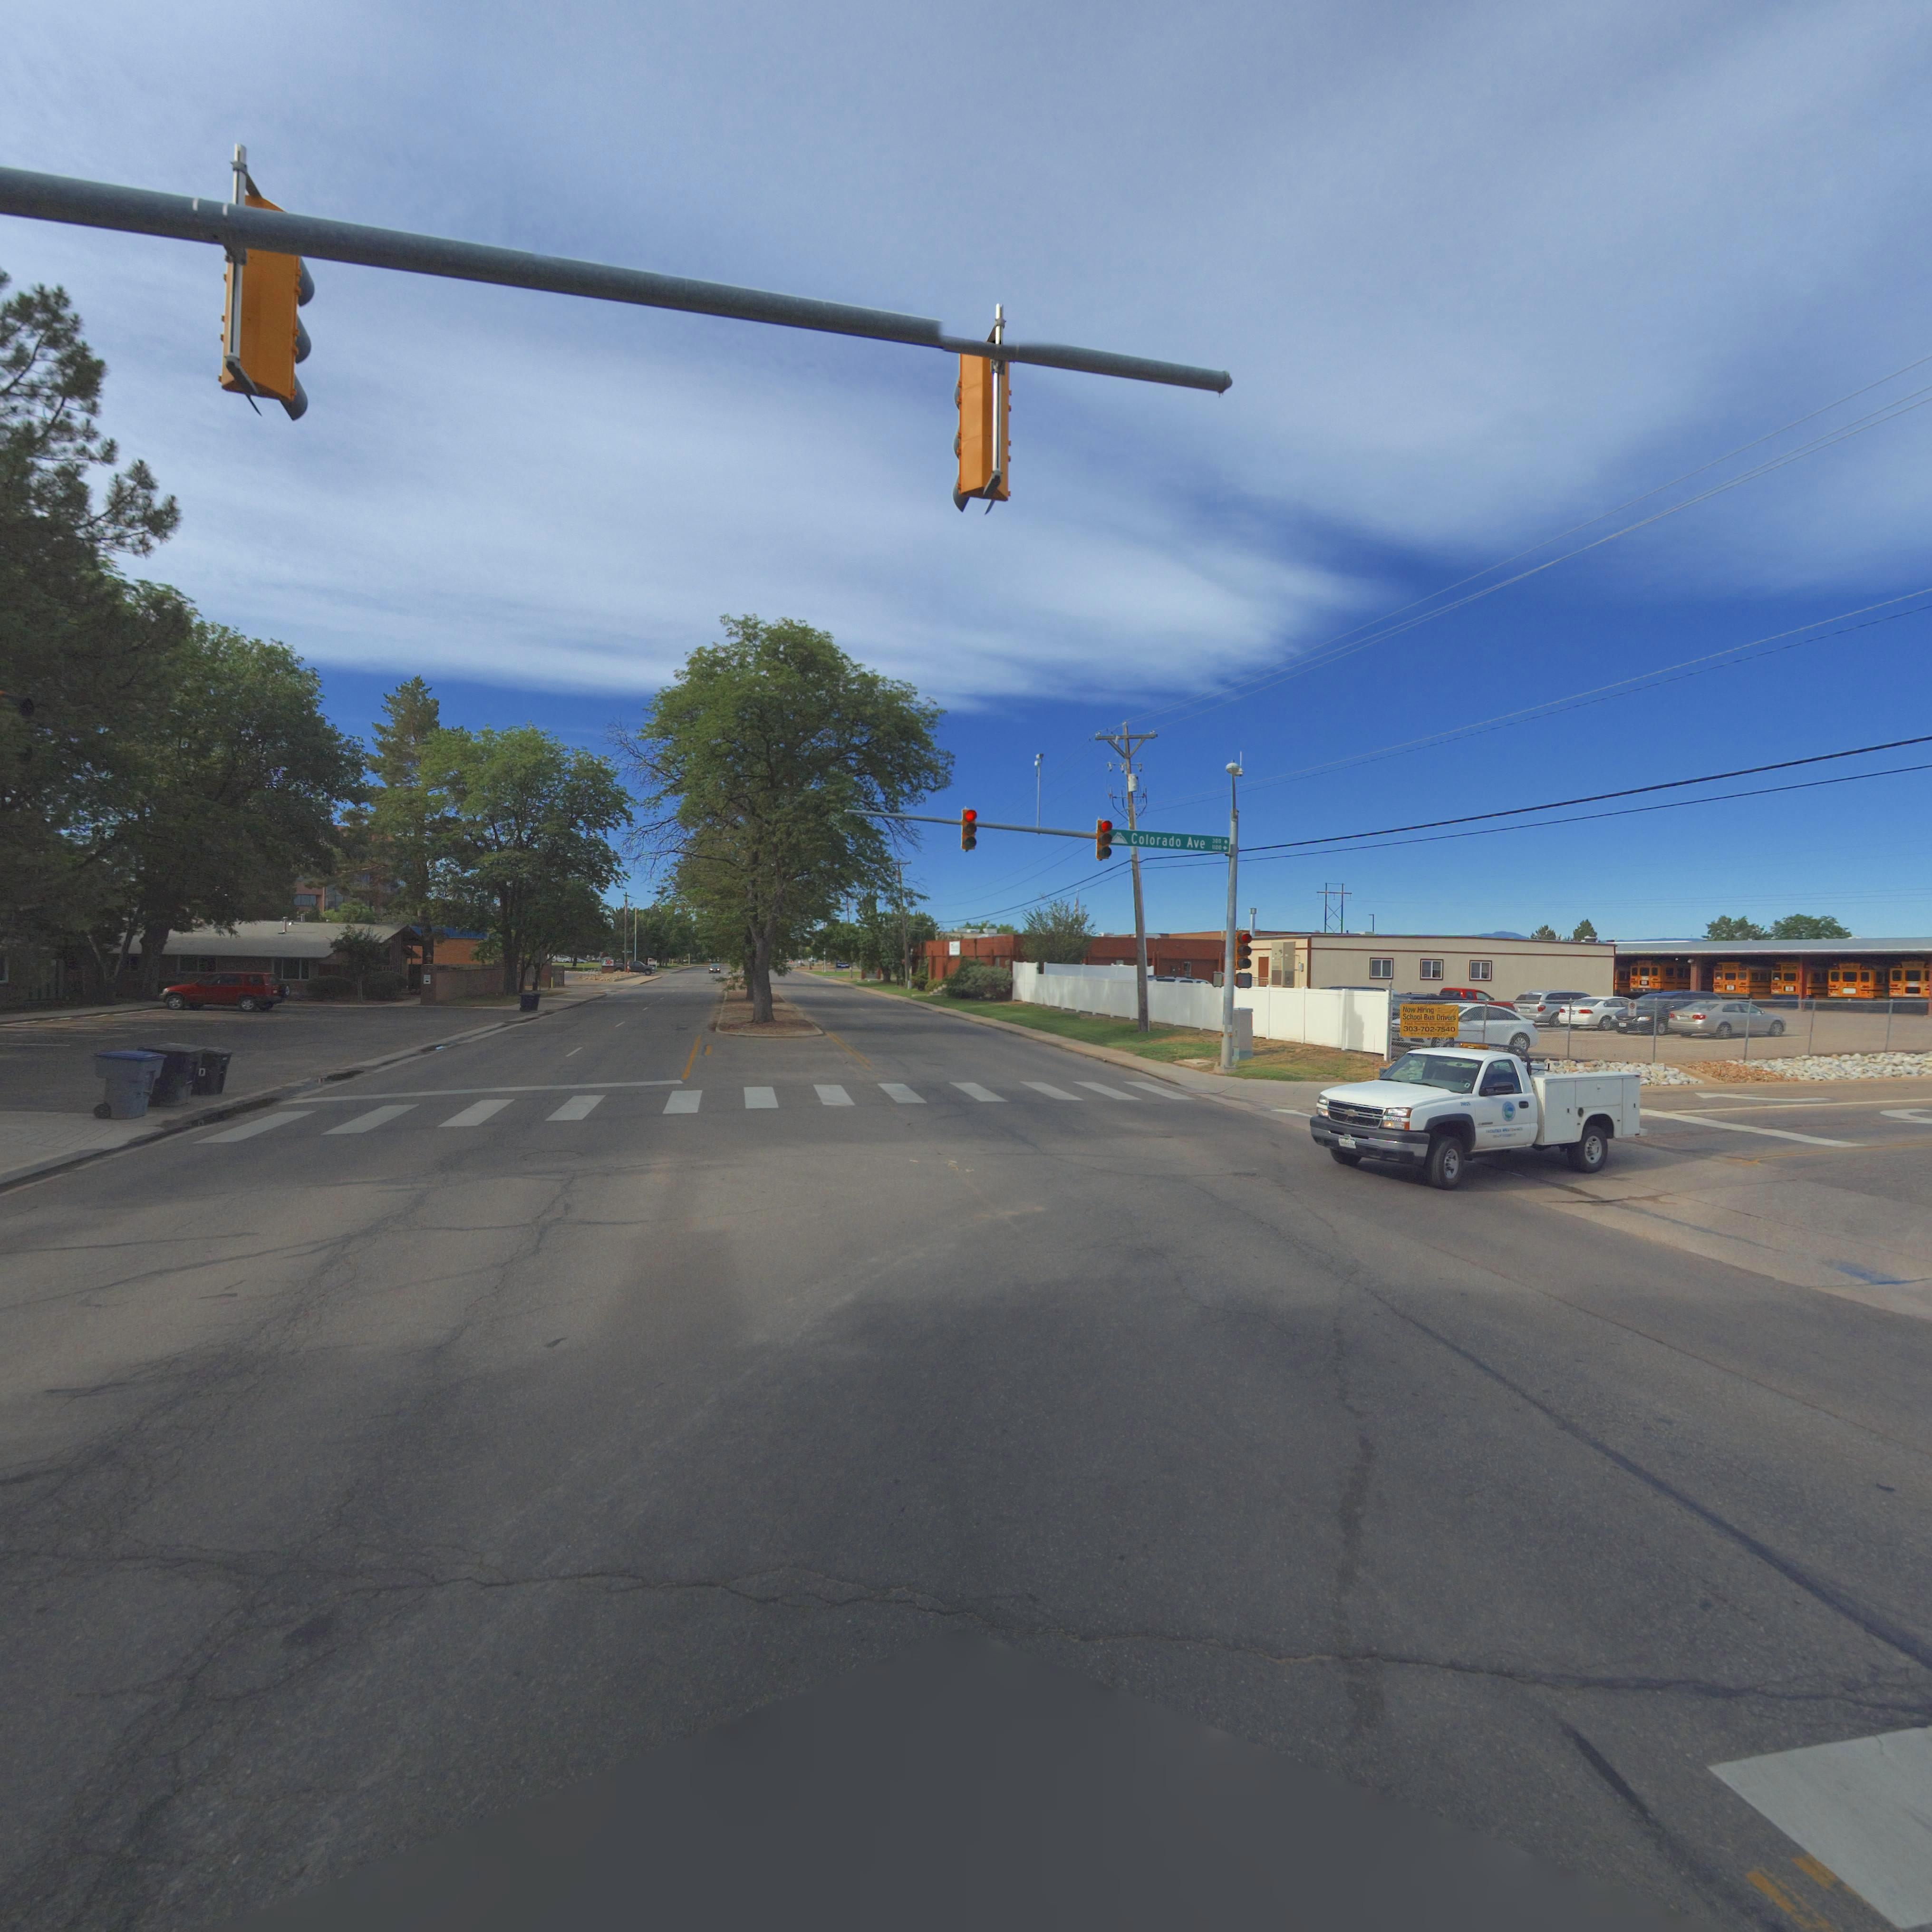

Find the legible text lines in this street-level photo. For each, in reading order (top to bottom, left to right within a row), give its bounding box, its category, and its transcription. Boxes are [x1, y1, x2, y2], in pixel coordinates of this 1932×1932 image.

[1131, 832, 1205, 849] StreetName: Colorado Ave
[1211, 838, 1222, 843] StreetNumberRange: 300
[1212, 844, 1228, 851] StreetNumberRange: 1100 ->